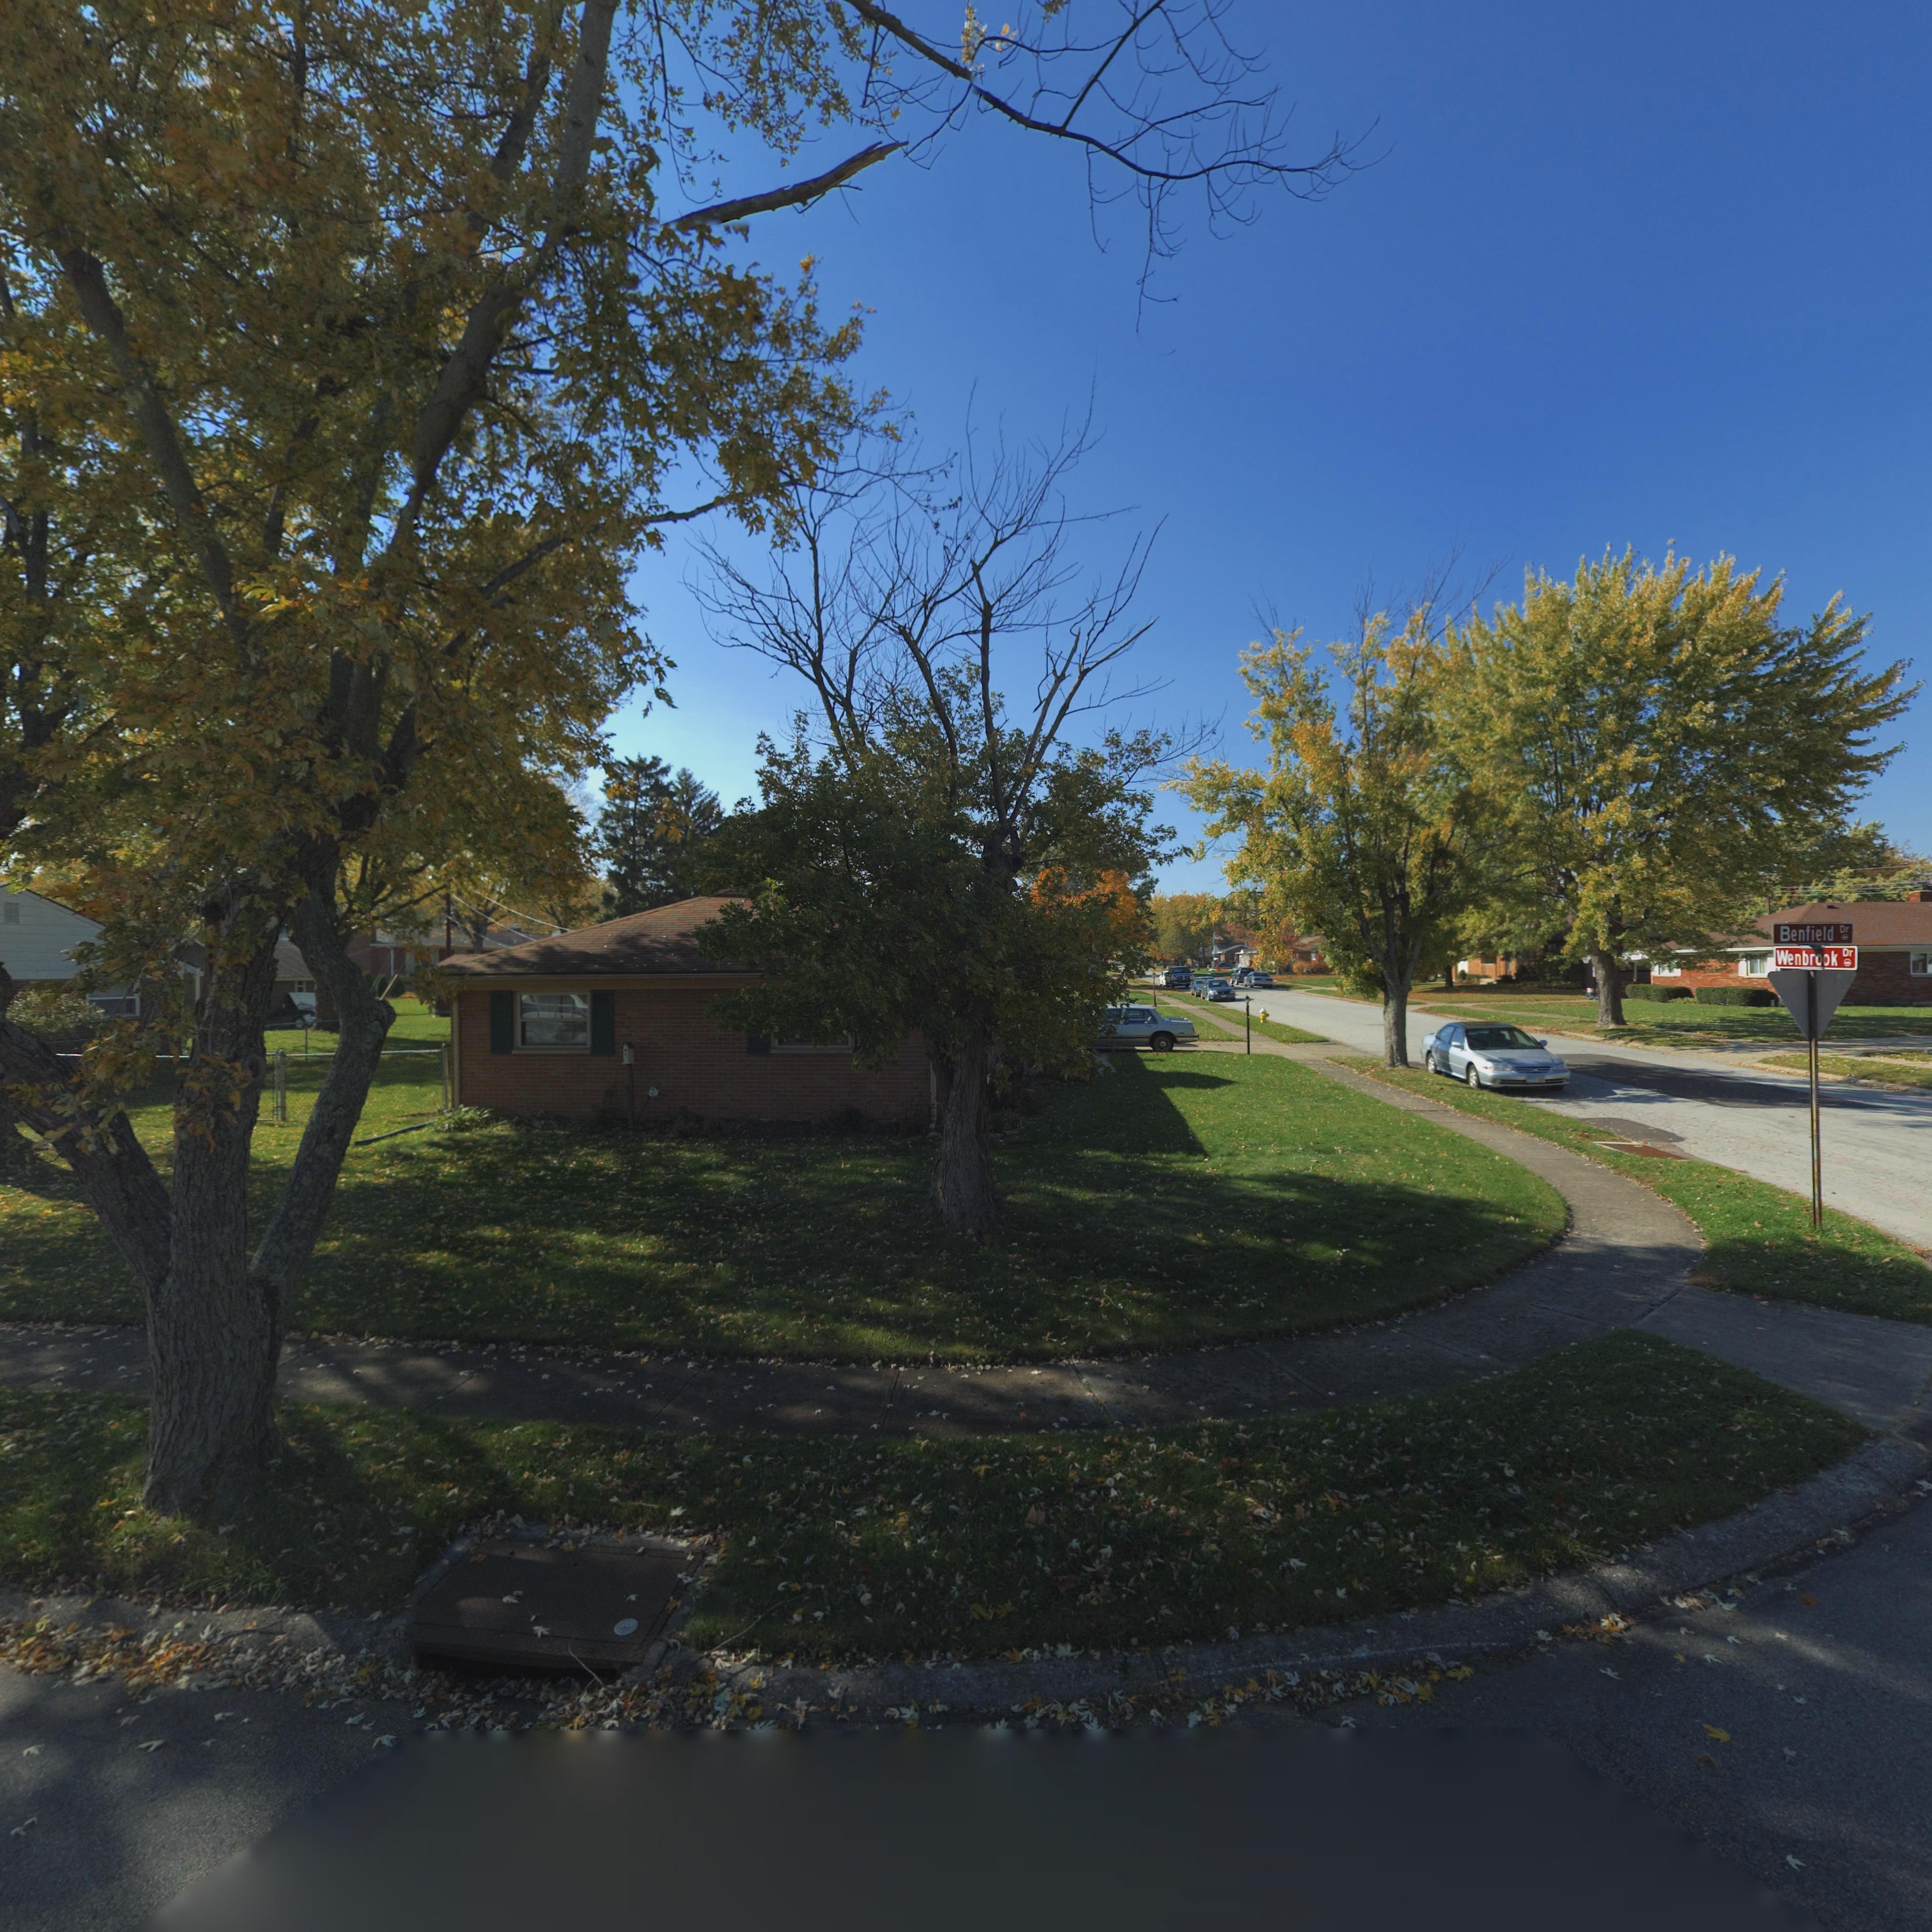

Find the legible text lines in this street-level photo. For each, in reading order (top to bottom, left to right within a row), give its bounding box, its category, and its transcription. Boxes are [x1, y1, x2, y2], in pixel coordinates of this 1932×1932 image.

[1778, 925, 1850, 942] StreetName: Benfield Dr
[1776, 947, 1855, 966] StreetName: Wenbrook Dr